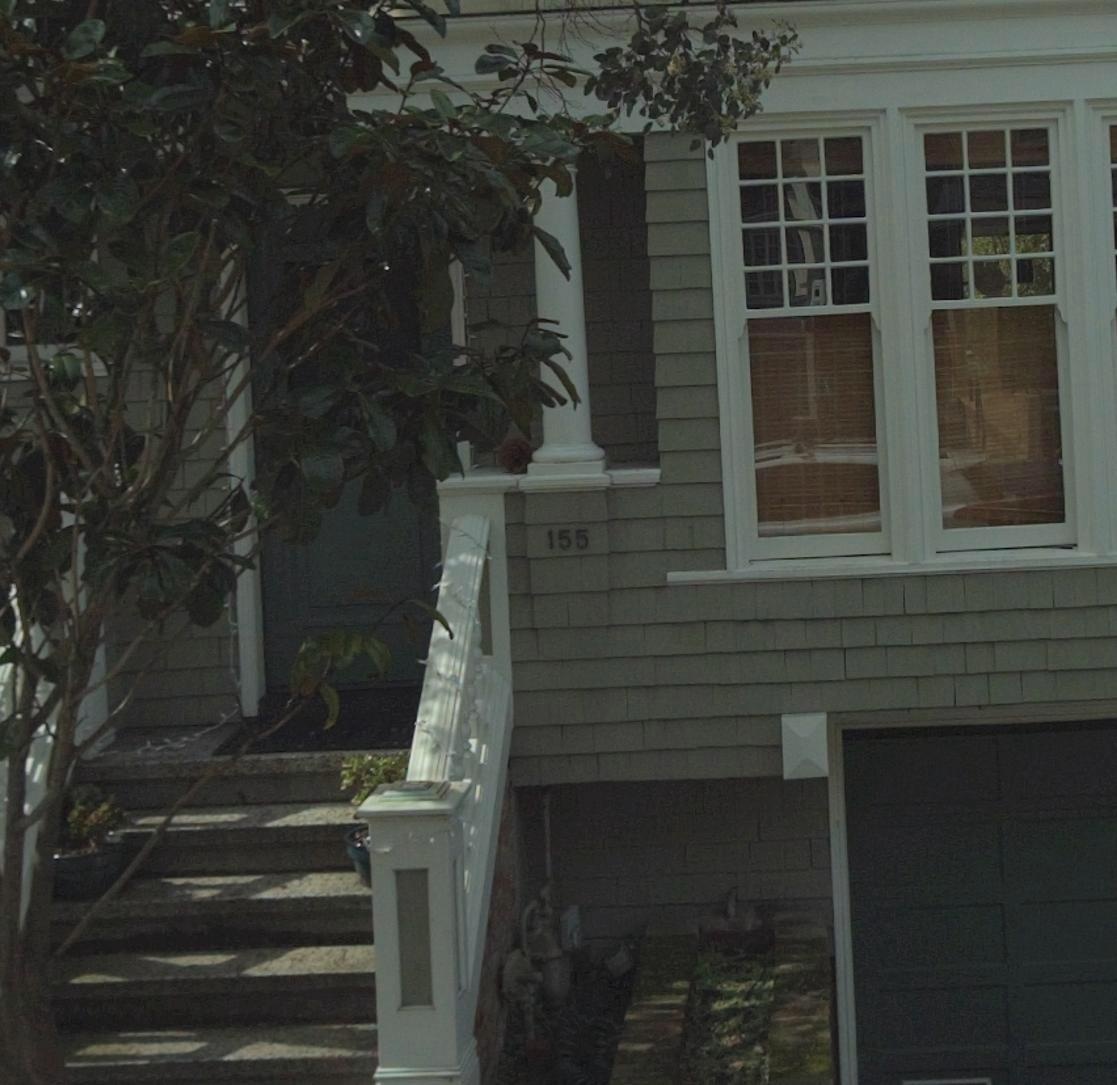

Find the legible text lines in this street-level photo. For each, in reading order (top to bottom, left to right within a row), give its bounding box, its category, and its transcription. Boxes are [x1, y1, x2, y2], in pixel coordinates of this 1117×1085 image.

[545, 525, 591, 553] StreetNumber: 155